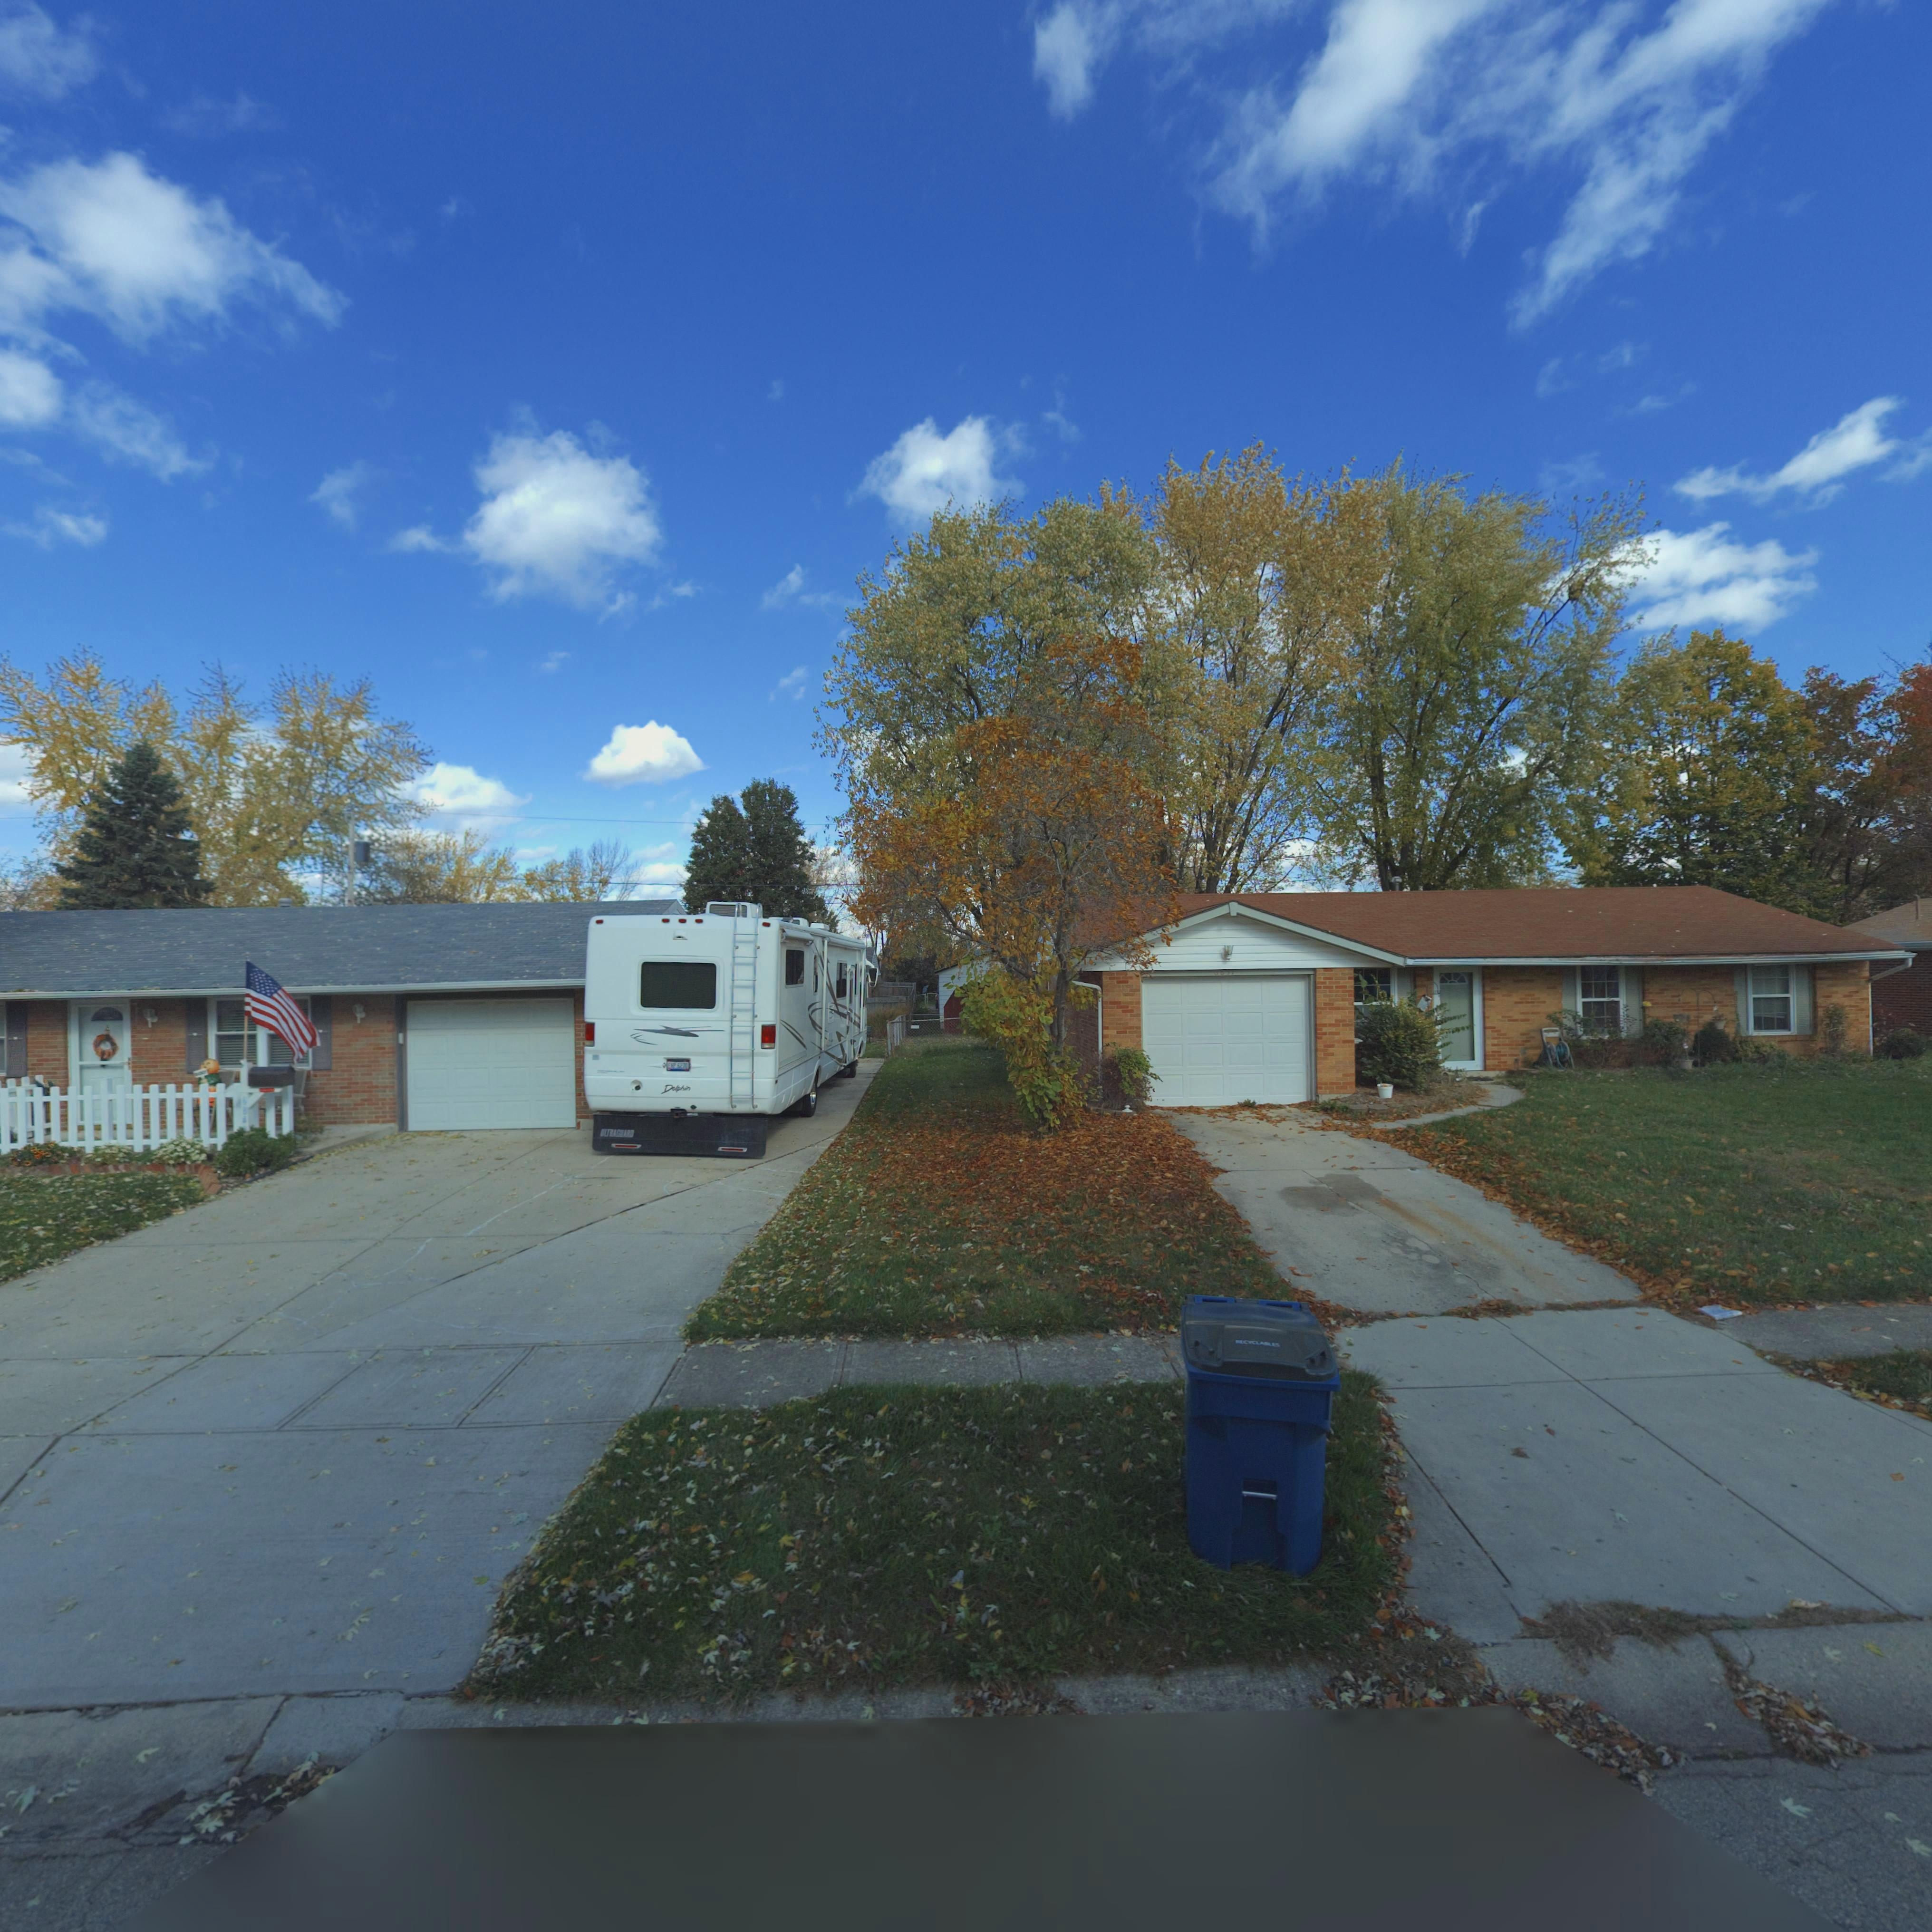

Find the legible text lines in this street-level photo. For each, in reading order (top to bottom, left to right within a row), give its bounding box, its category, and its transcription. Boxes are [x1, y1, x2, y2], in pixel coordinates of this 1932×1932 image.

[1213, 969, 1235, 976] StreetNumber: 6**7
[241, 1095, 248, 1123] StreetNumber: 684